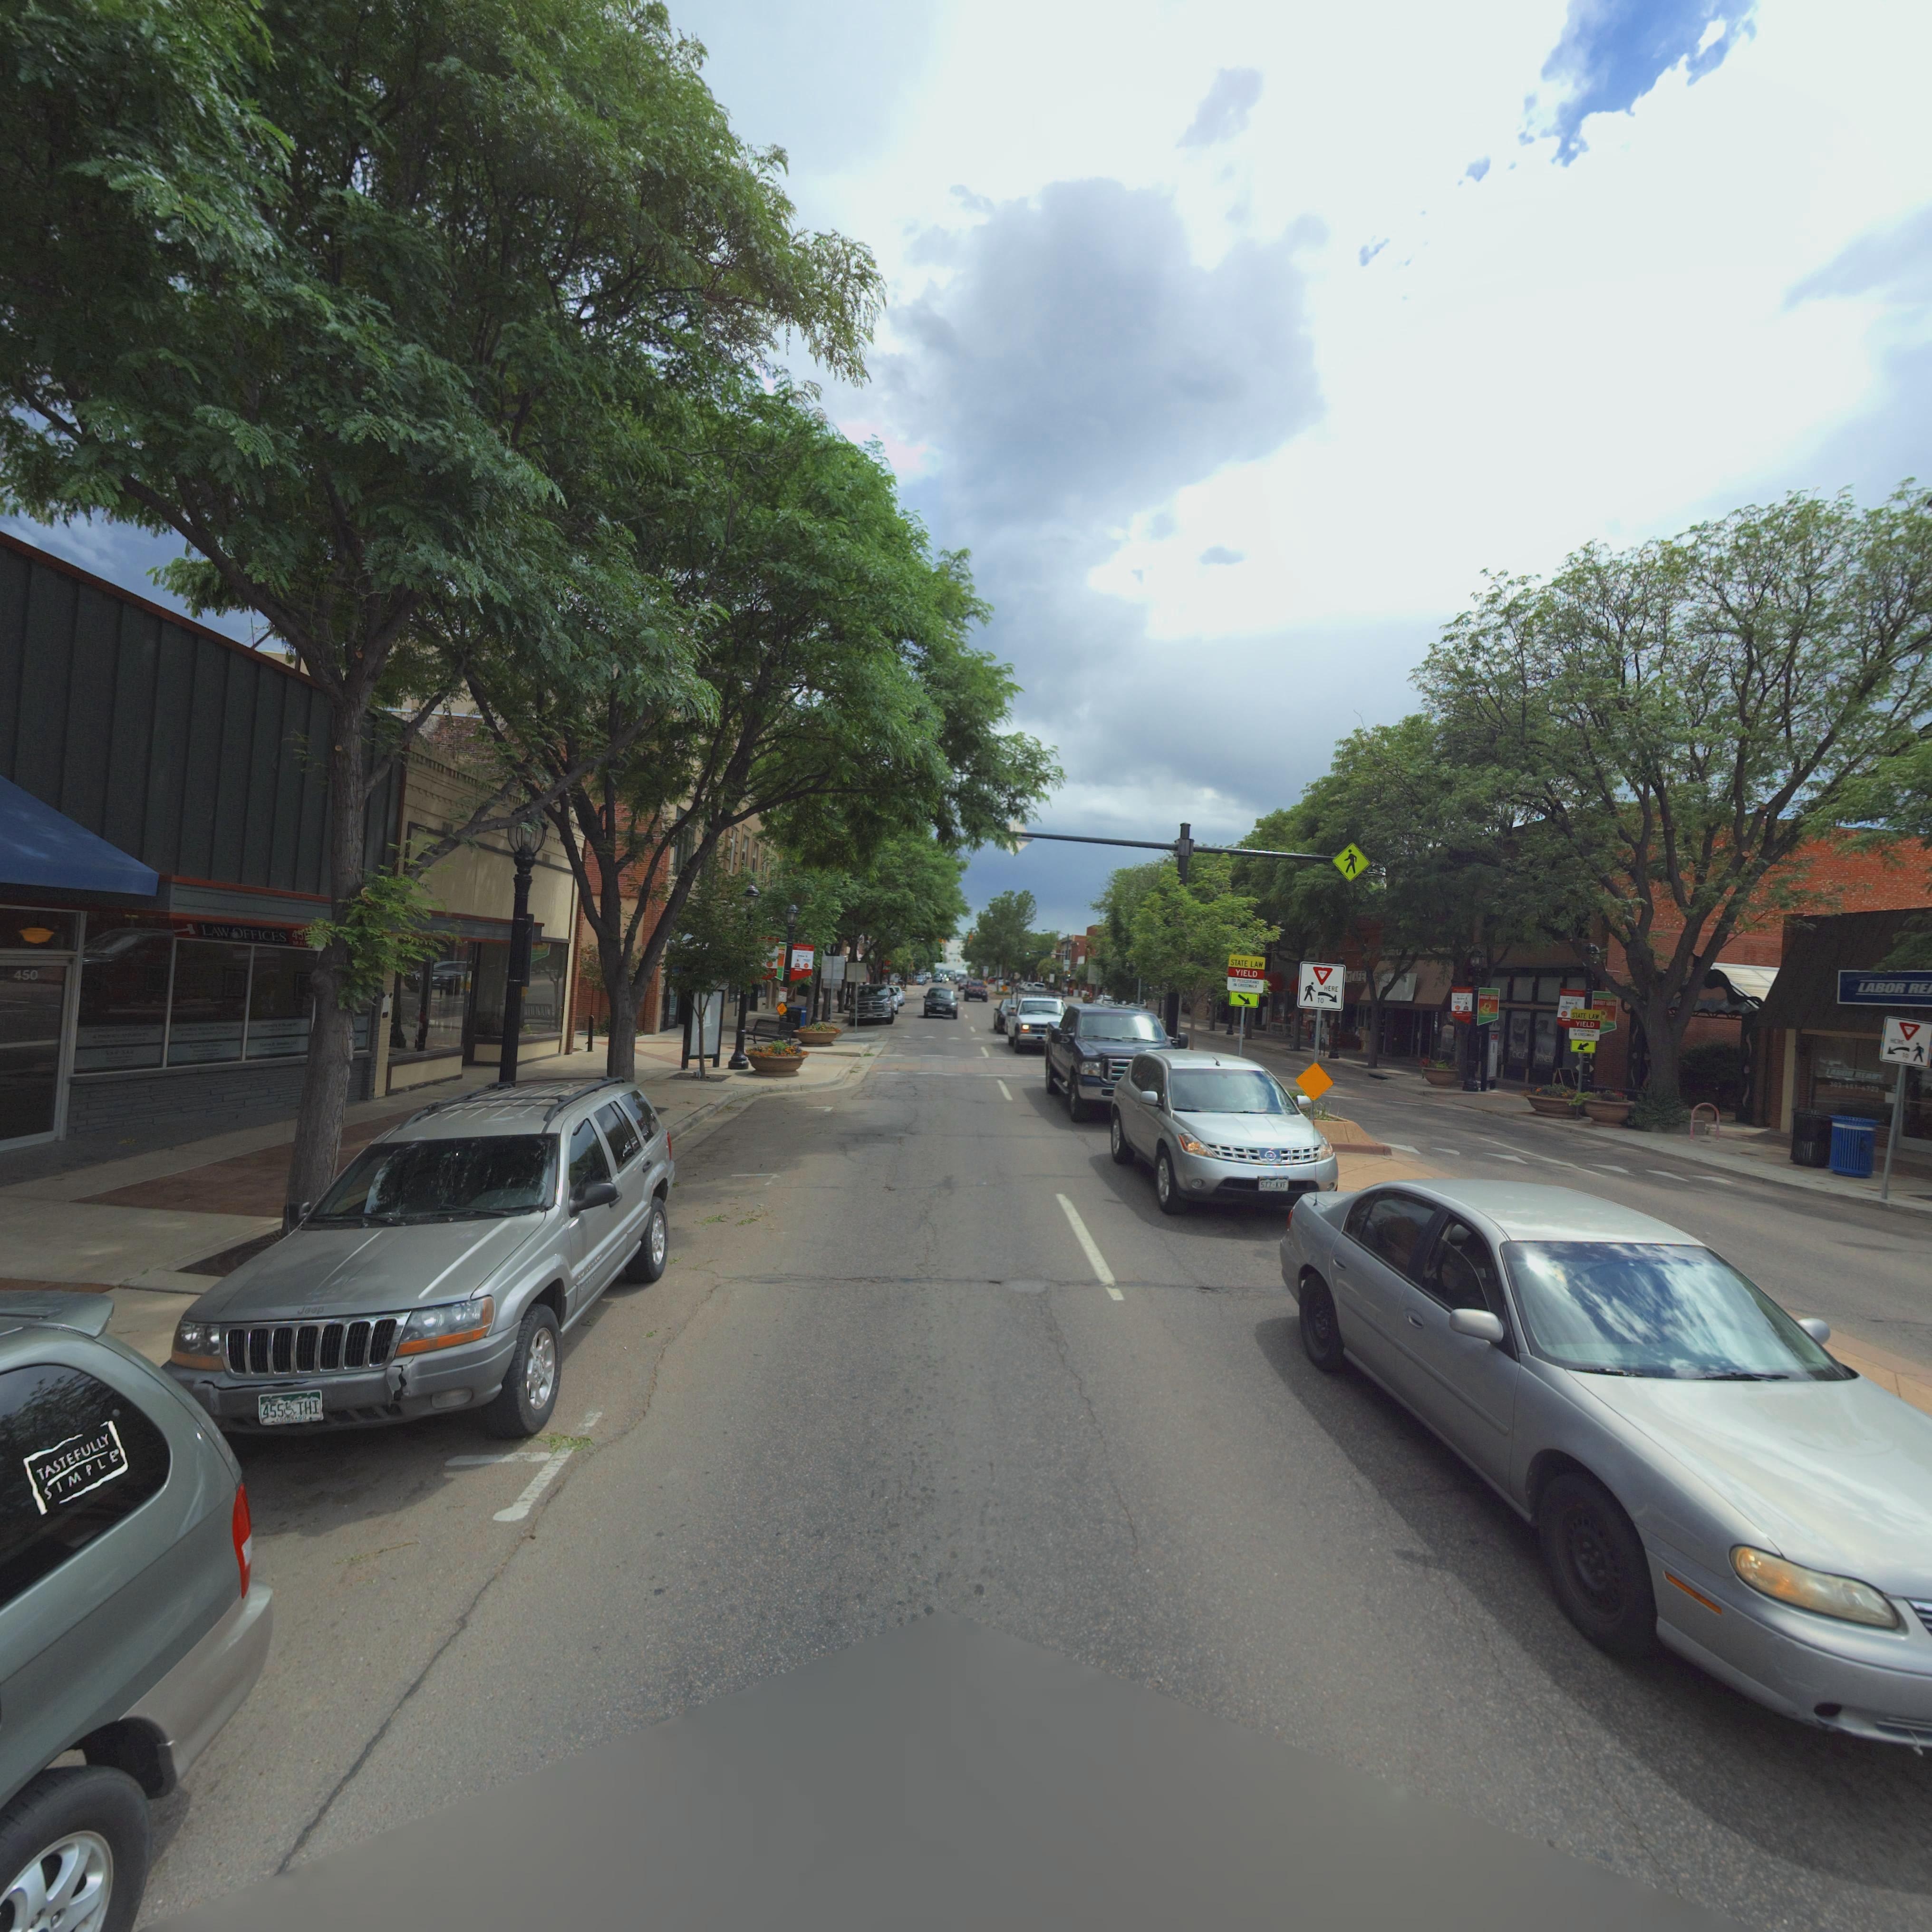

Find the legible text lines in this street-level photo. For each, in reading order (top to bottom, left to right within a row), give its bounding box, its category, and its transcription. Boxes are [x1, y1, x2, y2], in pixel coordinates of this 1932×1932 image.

[291, 929, 310, 941] StreetNumber: 4**
[292, 940, 311, 947] StreetName: MAI*
[13, 969, 39, 980] StreetNumber: 450
[1346, 971, 1365, 982] BusinessName: ***** X CAFE
[1857, 982, 1930, 994] BusinessName: LABOR RE***
[1825, 1068, 1884, 1081] BusinessName: LABOR READY